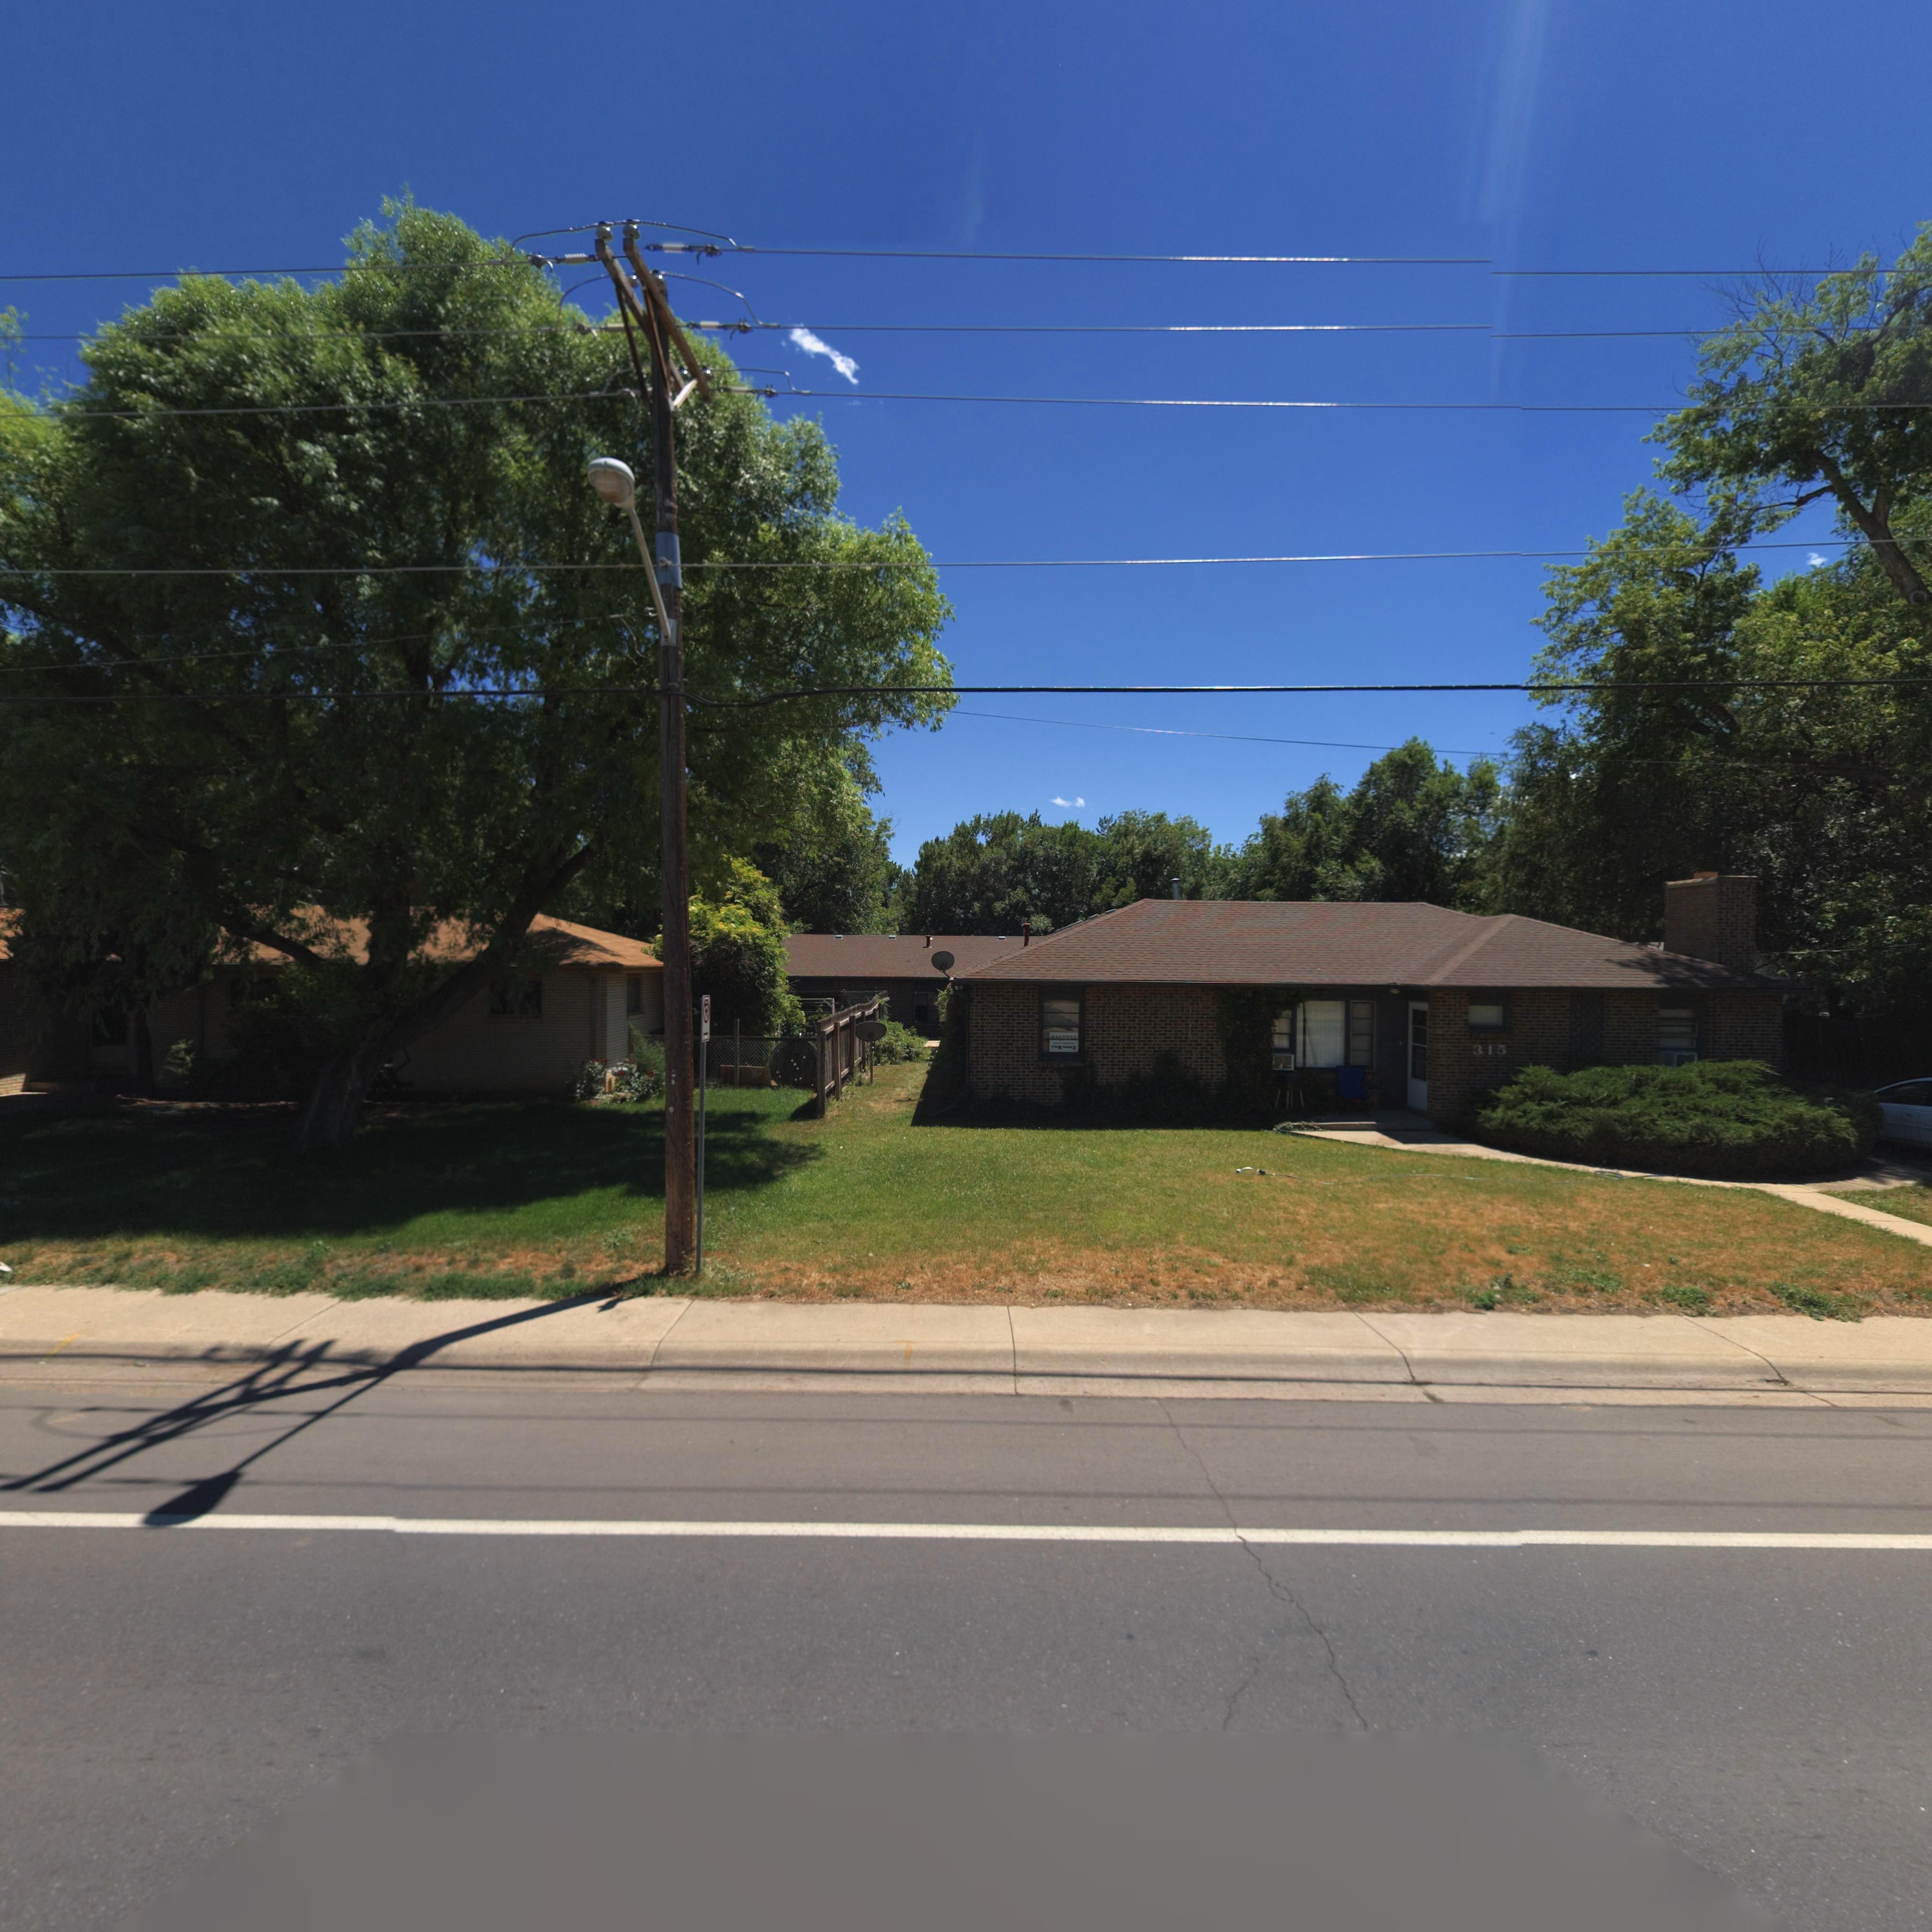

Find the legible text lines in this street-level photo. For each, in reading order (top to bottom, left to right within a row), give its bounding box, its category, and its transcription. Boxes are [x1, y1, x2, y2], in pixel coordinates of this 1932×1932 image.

[1473, 1044, 1507, 1055] StreetNumber: 315